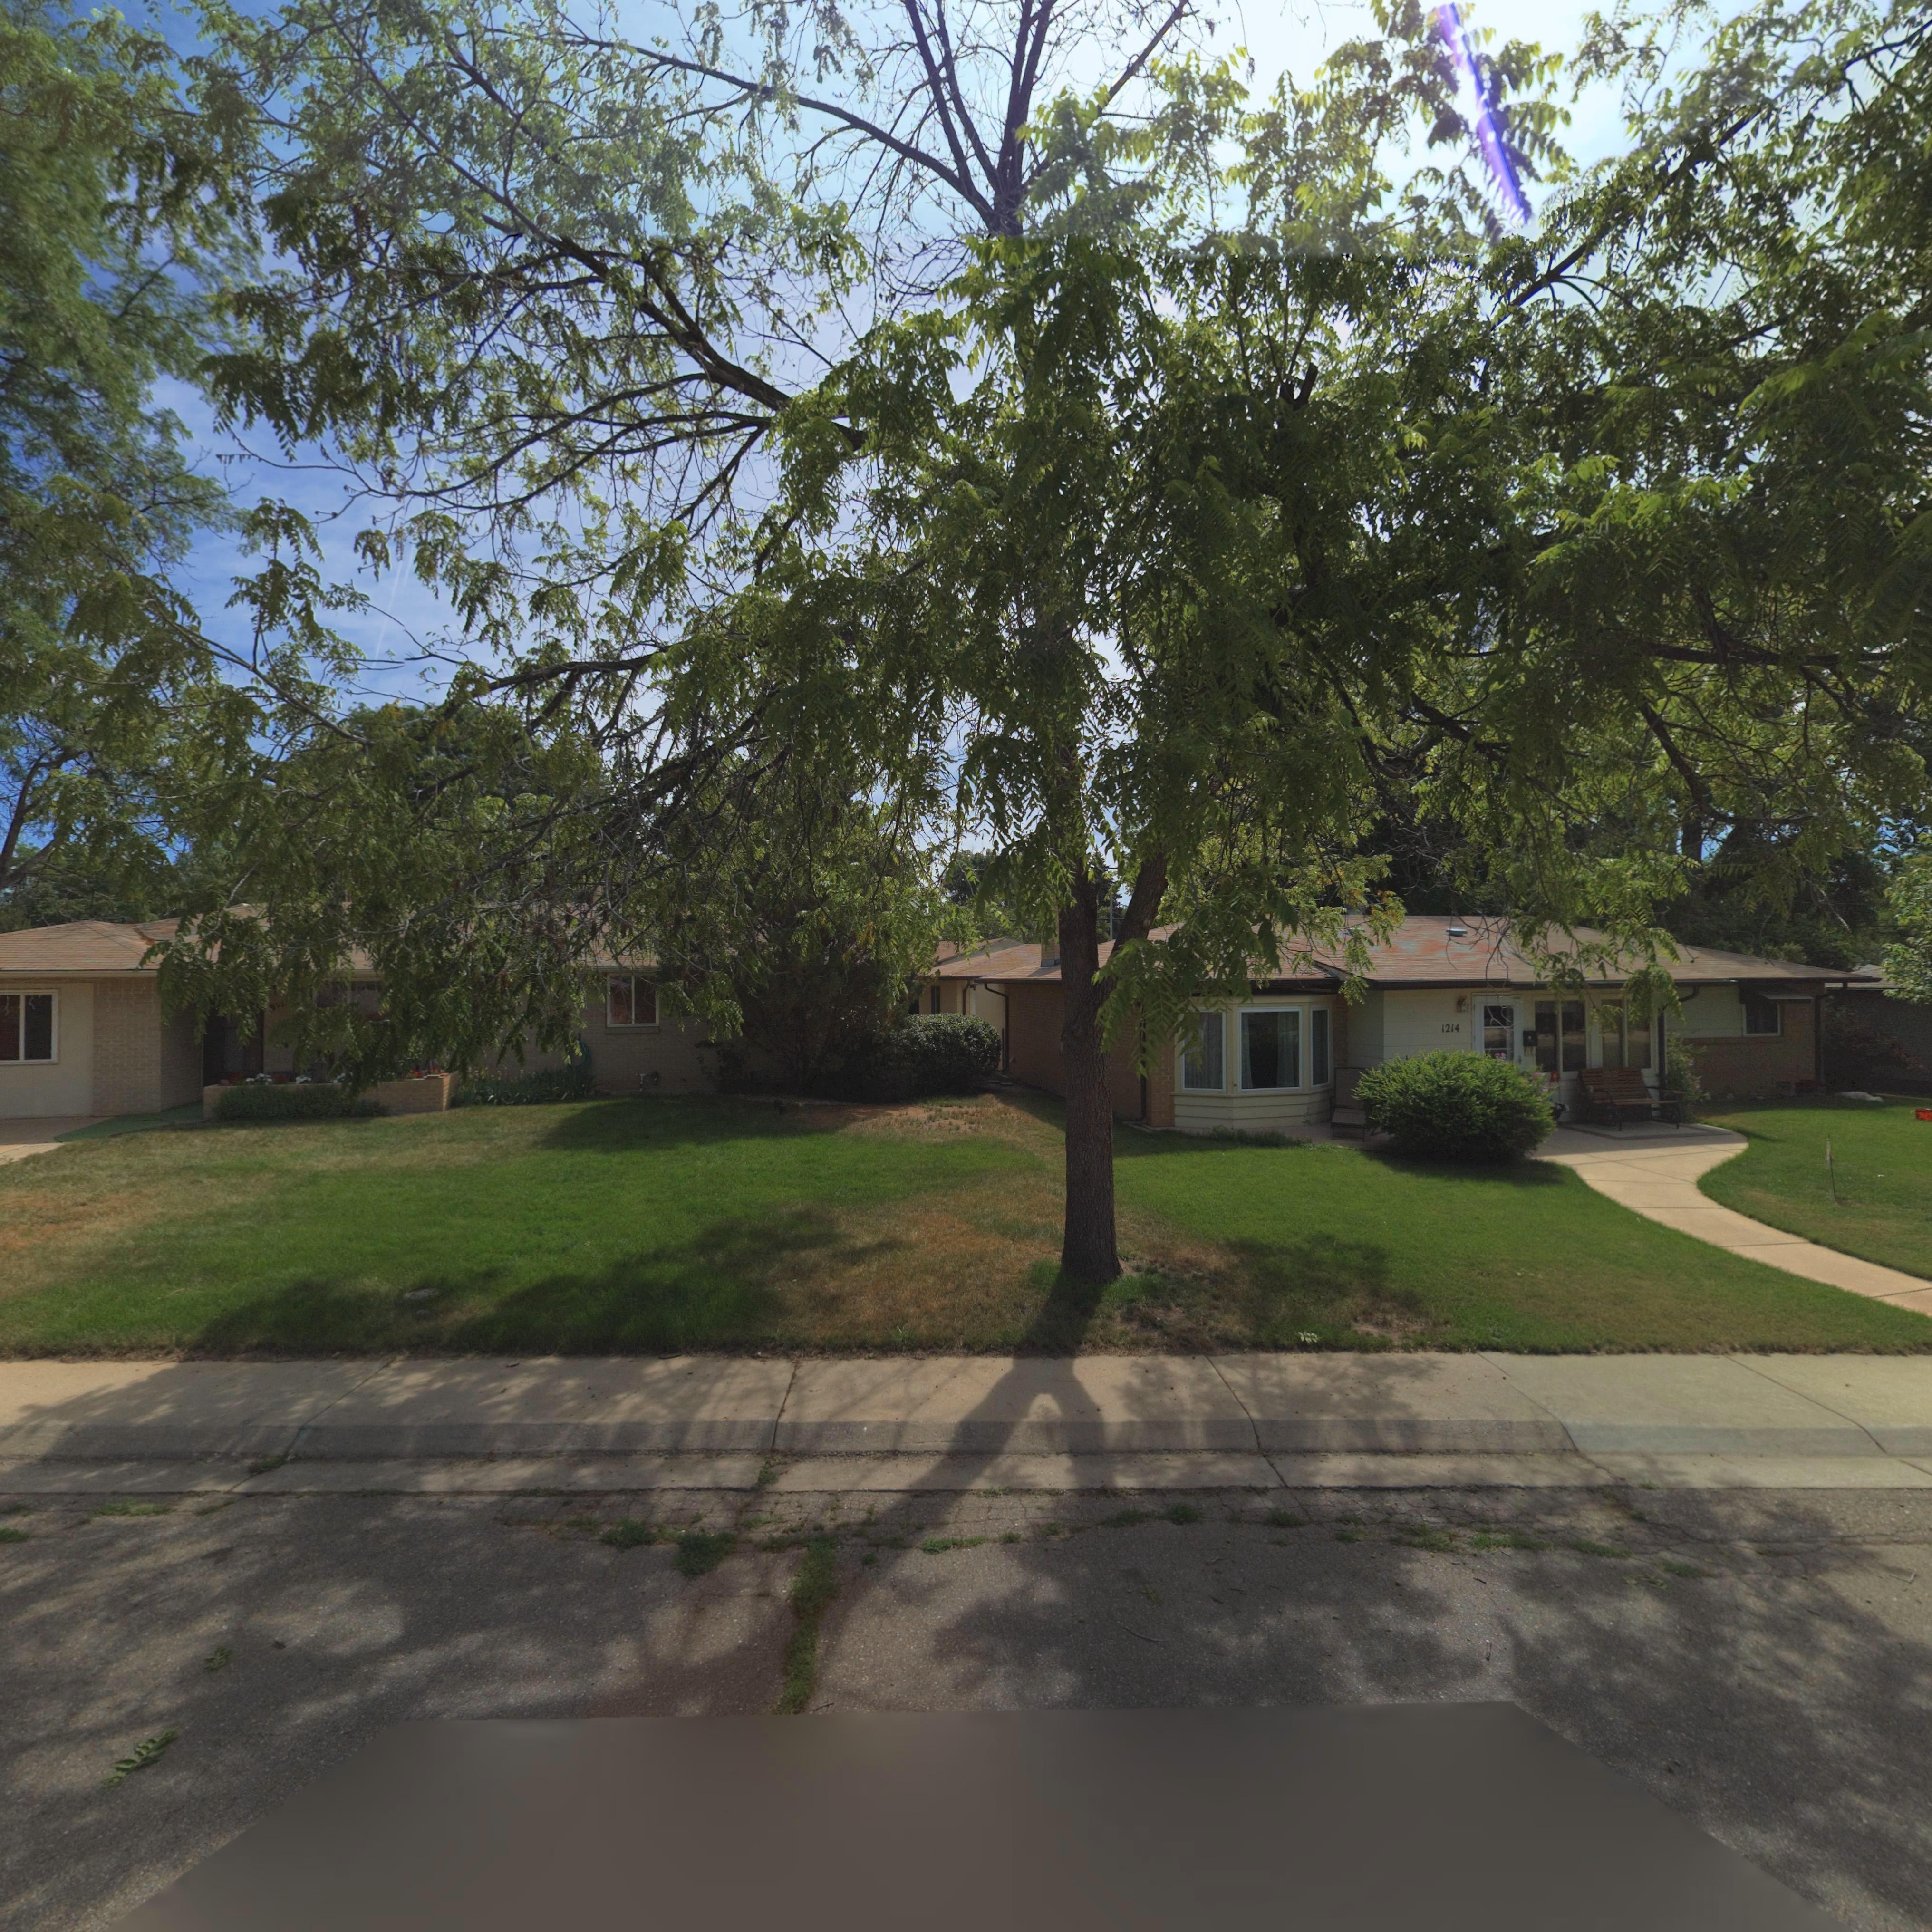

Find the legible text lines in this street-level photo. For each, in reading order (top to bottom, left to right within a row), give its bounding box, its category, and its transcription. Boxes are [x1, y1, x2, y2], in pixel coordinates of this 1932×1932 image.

[274, 999, 292, 1011] StreetNumber: 12**
[1441, 1024, 1459, 1033] StreetNumber: 1214